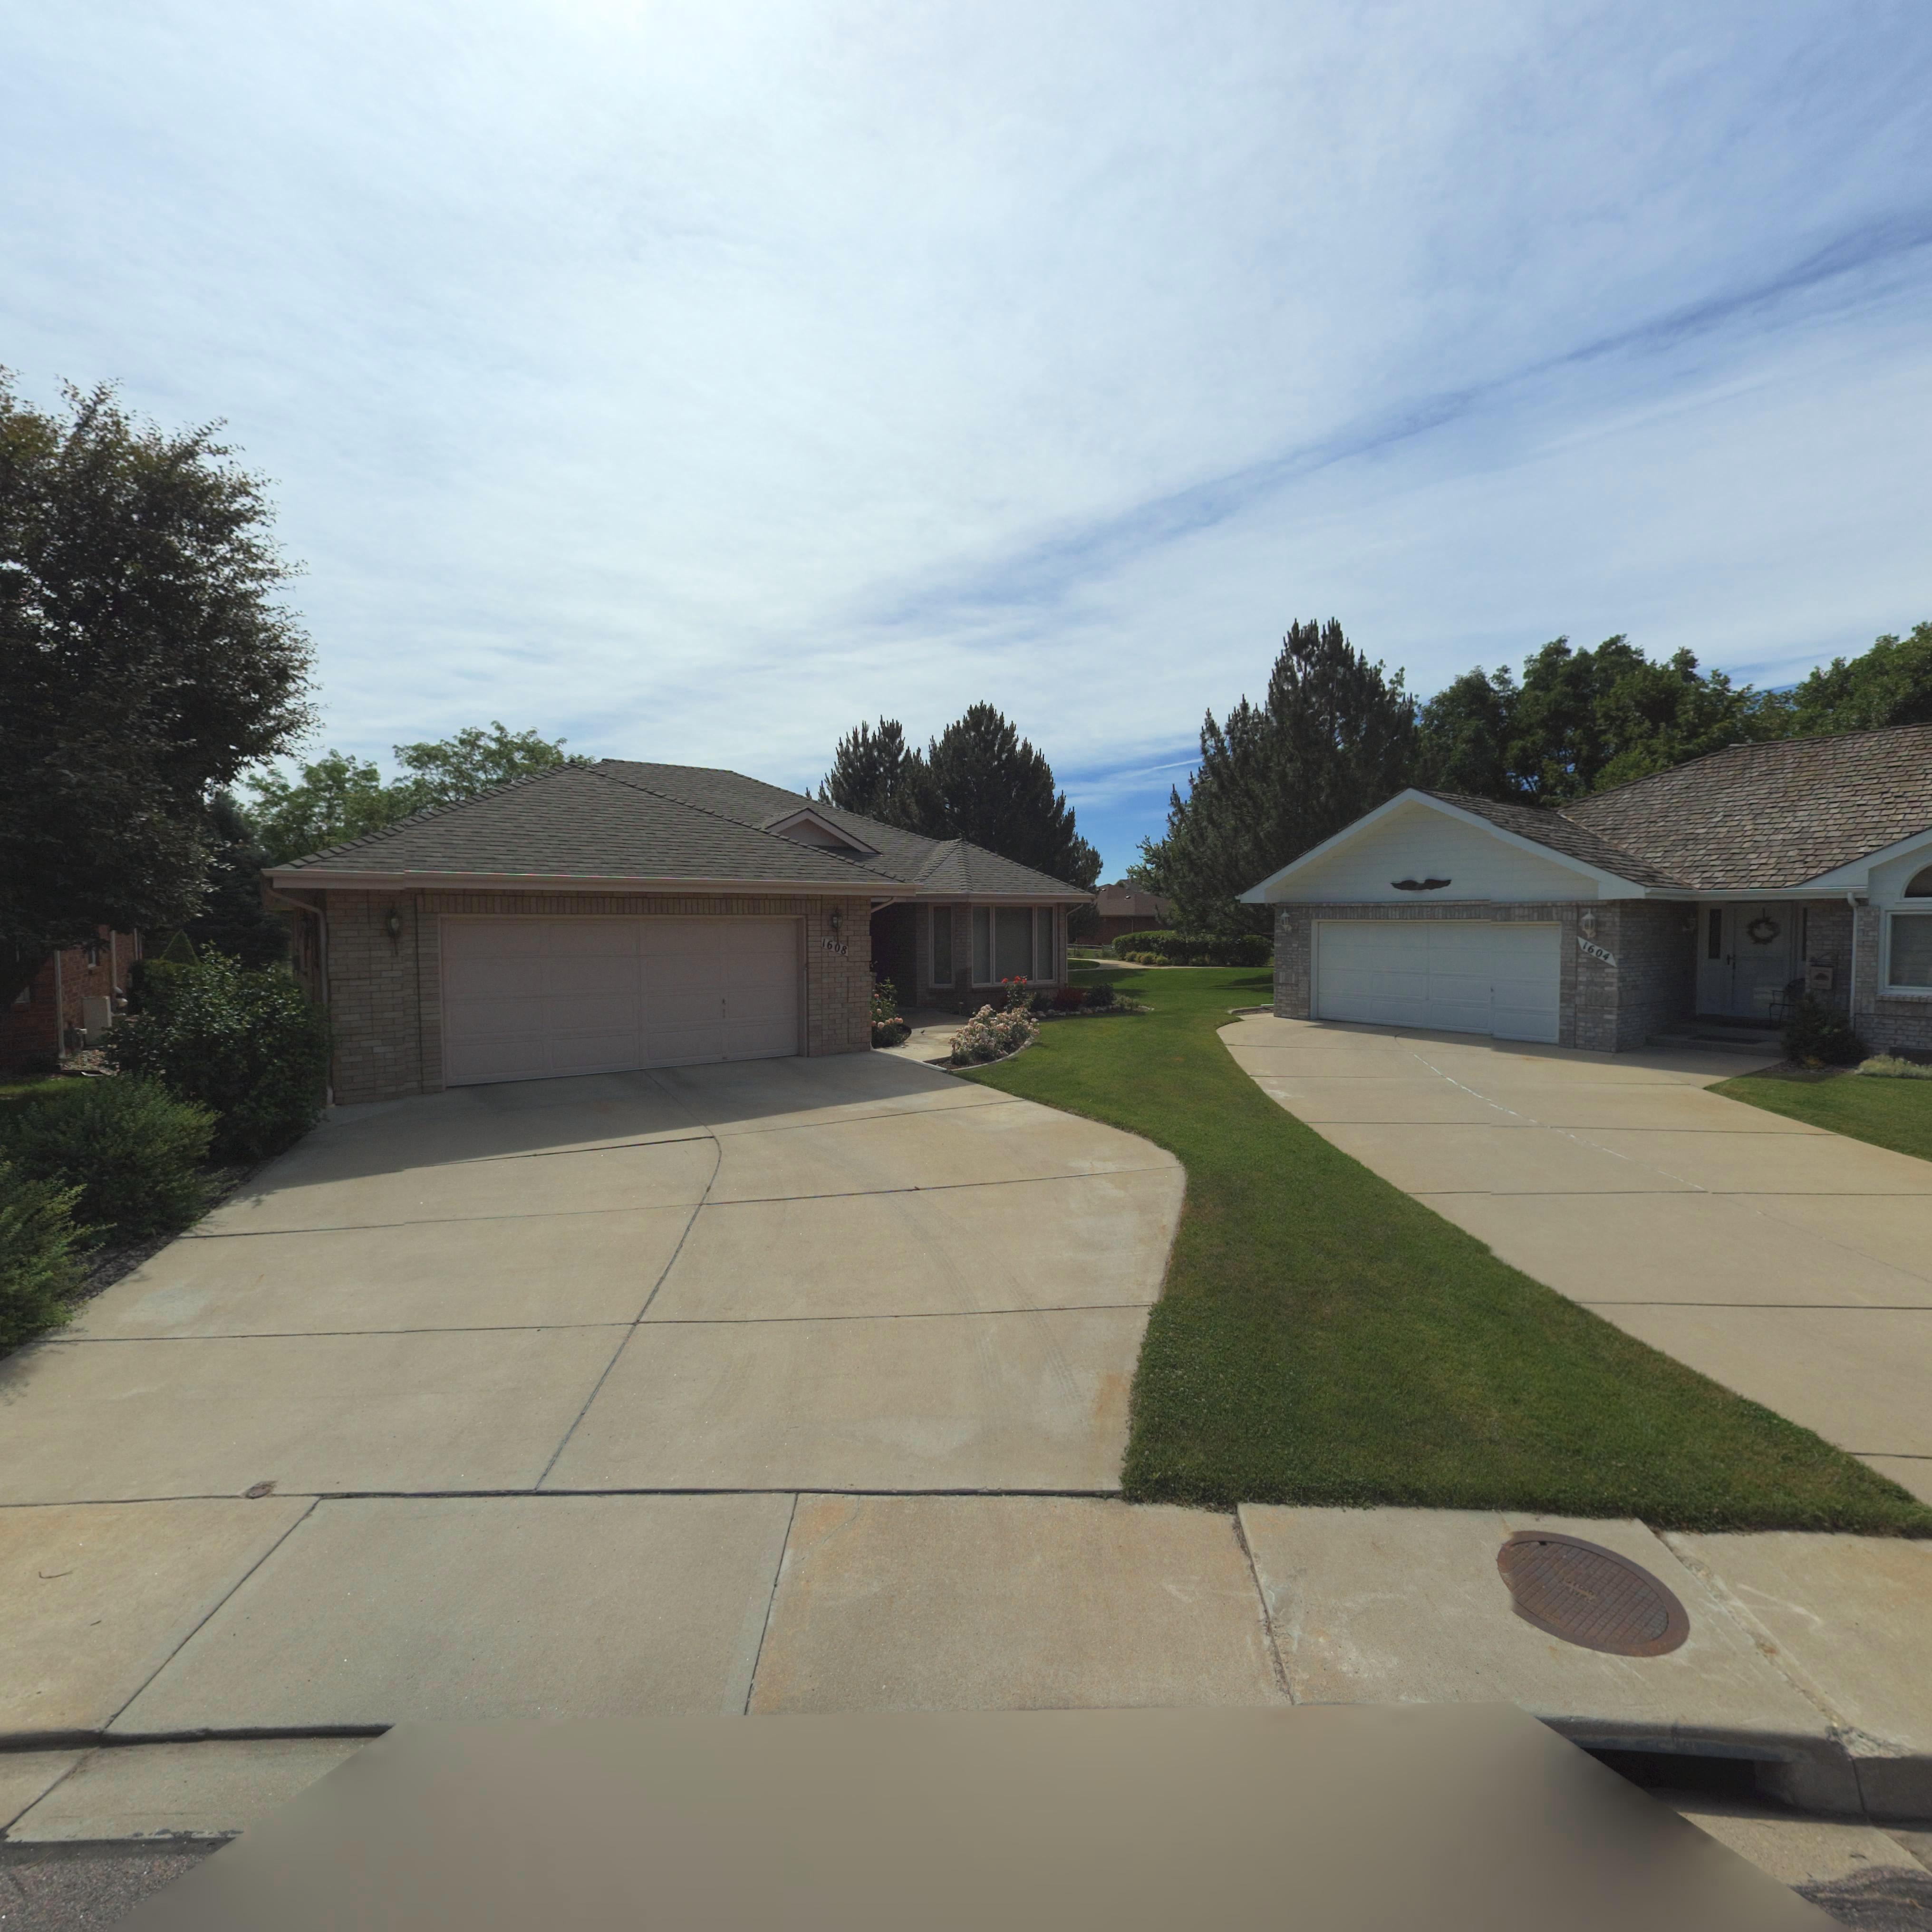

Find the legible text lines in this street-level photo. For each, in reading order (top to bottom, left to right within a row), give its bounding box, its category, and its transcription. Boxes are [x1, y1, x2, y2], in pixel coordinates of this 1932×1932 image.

[822, 938, 847, 955] StreetNumber: 1608
[1582, 941, 1611, 961] StreetNumber: 1604